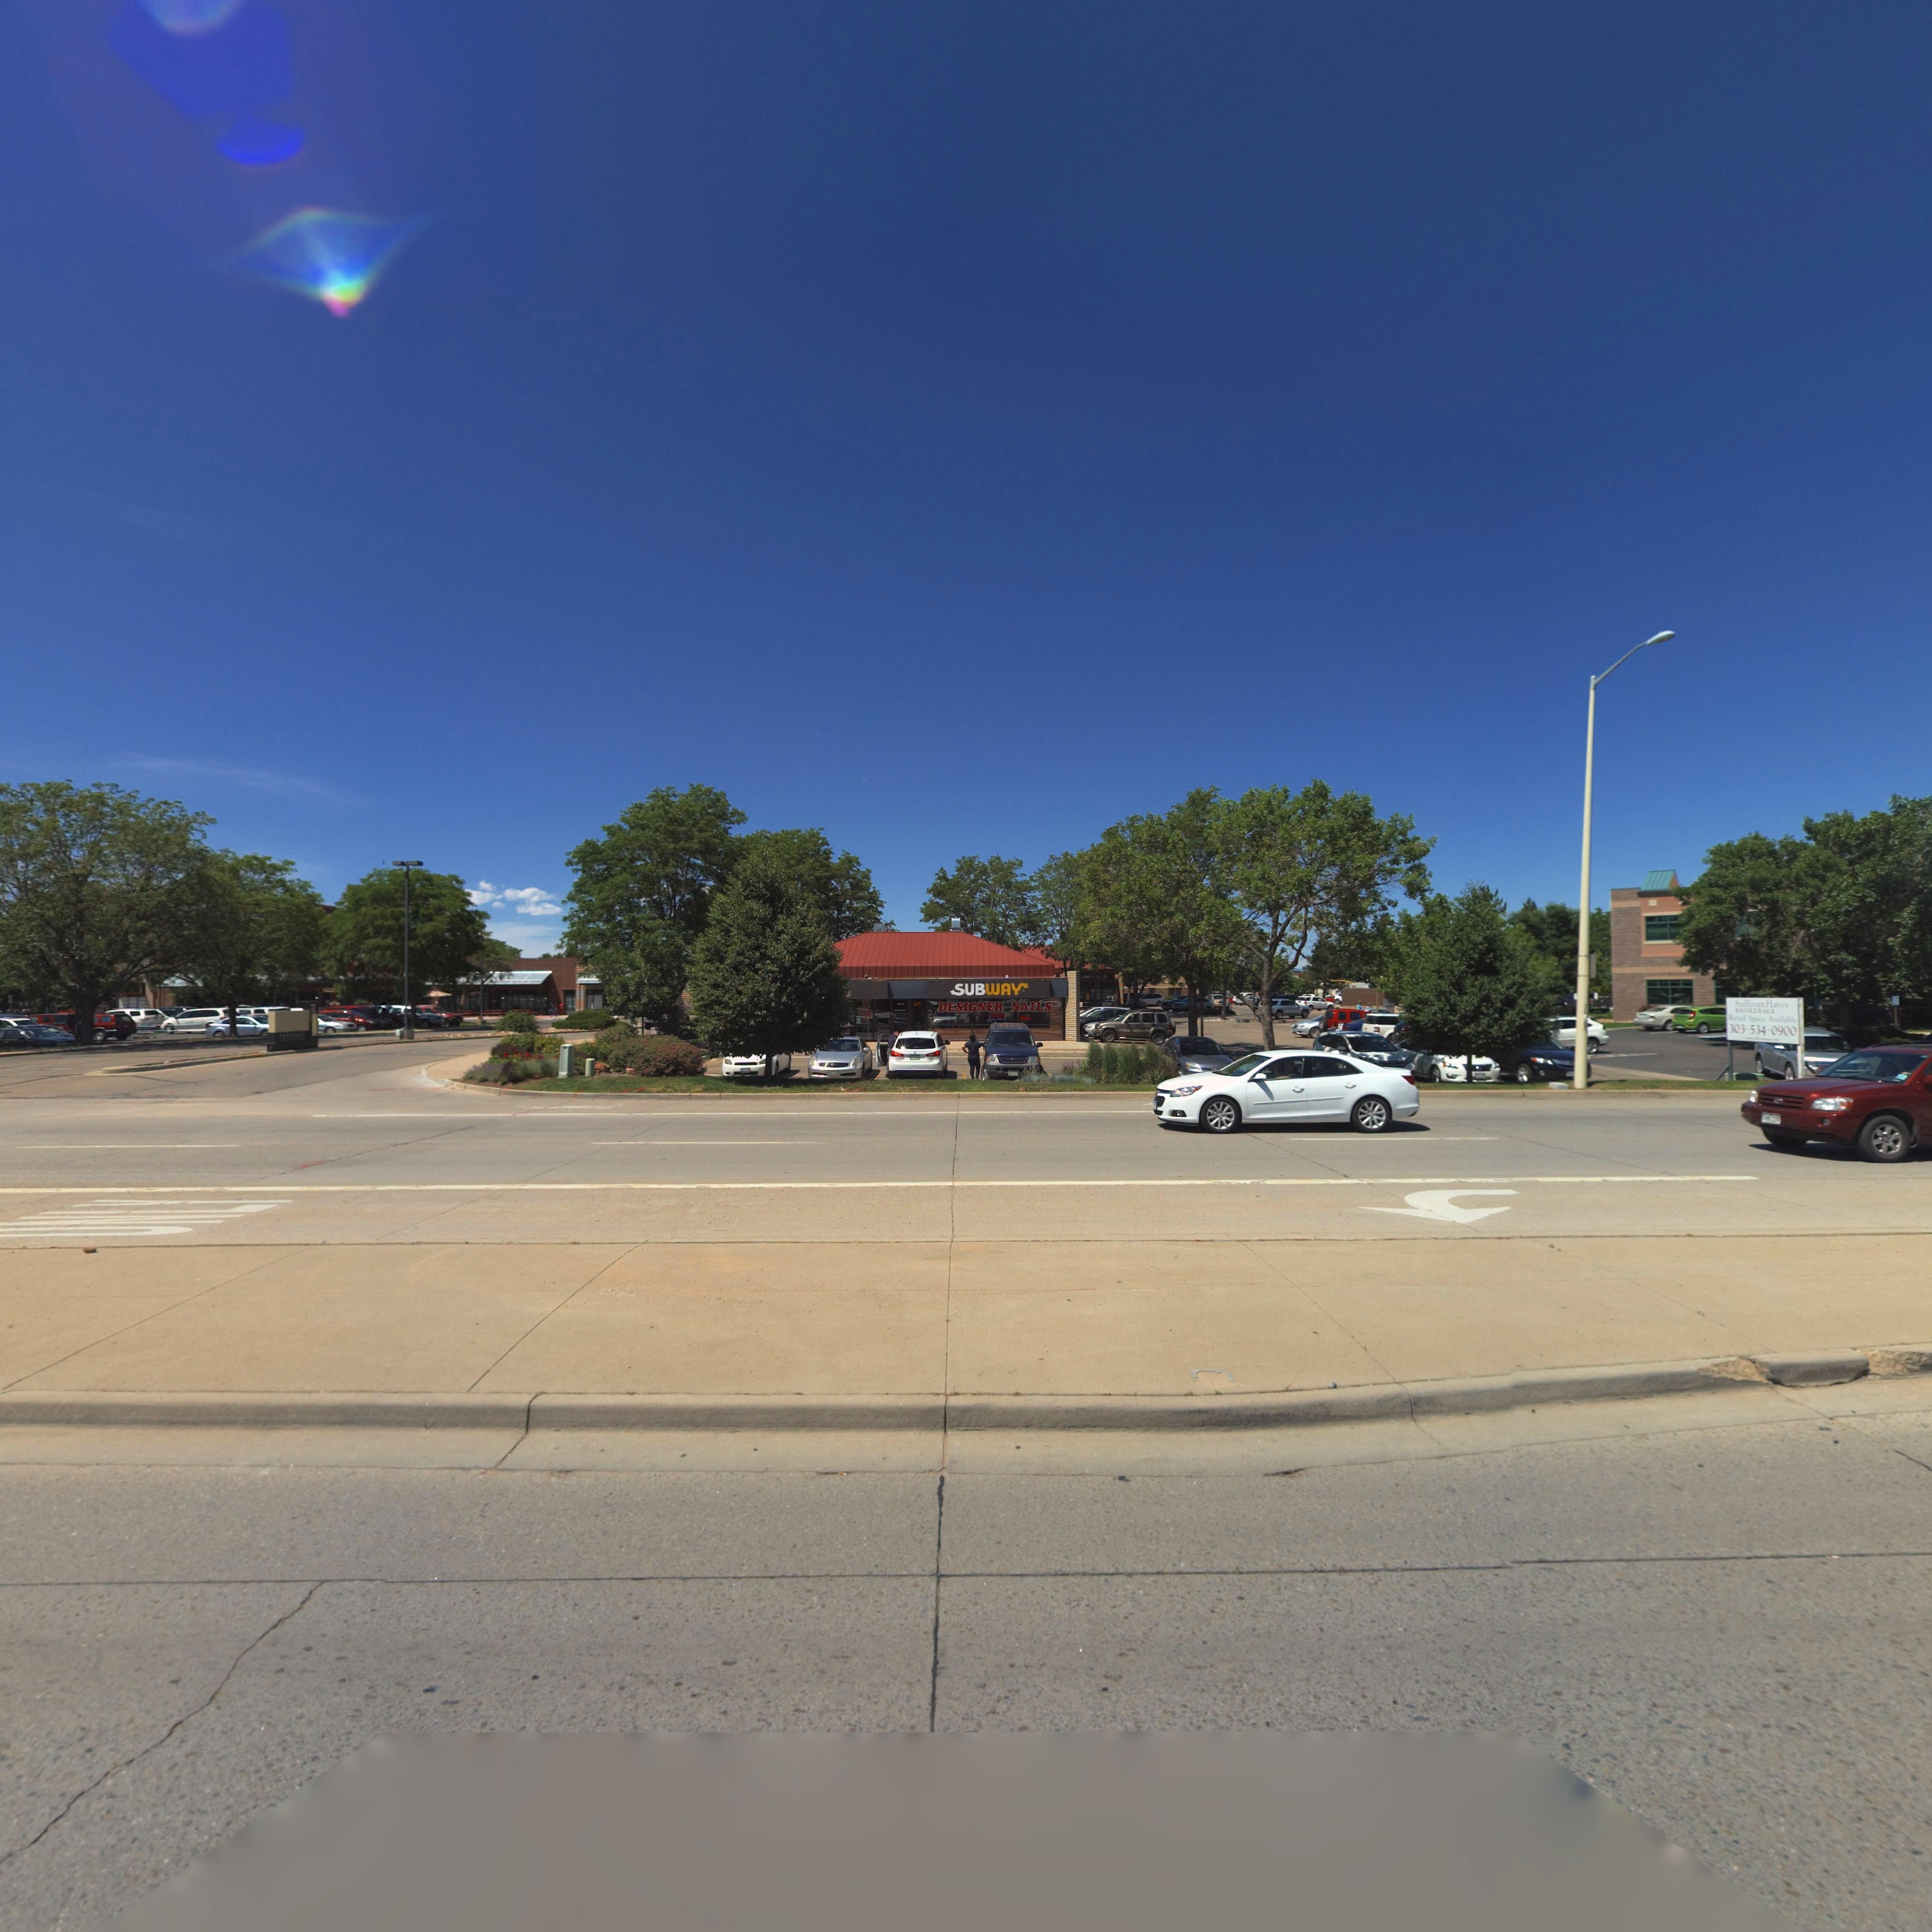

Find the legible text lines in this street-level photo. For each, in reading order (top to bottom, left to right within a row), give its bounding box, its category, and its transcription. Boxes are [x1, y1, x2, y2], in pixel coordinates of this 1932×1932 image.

[949, 982, 1029, 996] BusinessName: SUBWAY
[929, 1001, 938, 1005] StreetNumber: 700
[937, 1001, 1053, 1013] BusinessName: DESIGNER NAILS